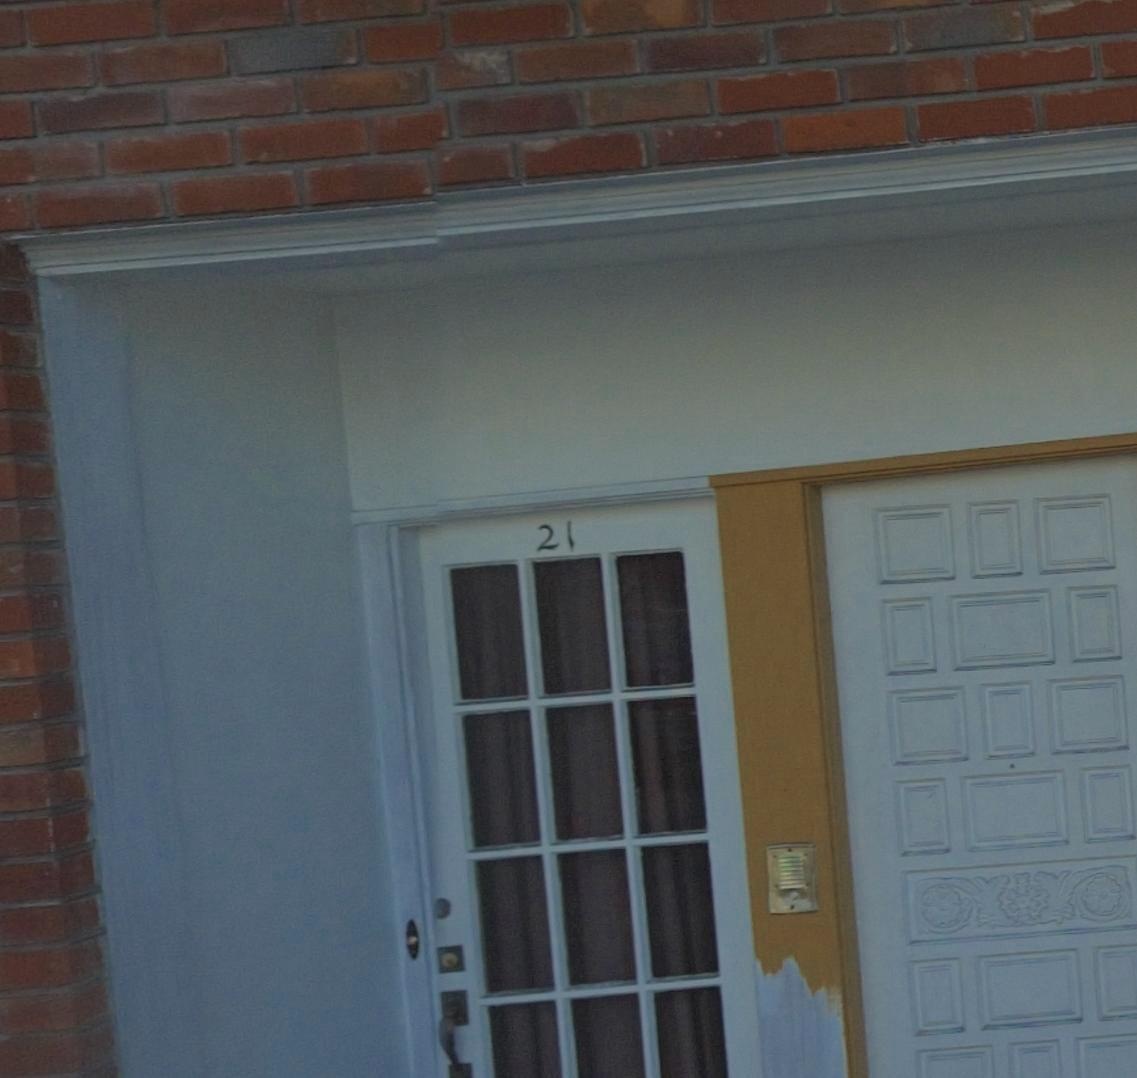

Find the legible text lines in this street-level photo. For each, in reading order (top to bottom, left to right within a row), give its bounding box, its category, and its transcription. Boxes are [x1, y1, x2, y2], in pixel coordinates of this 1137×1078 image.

[534, 518, 579, 555] StreetNumber: 21